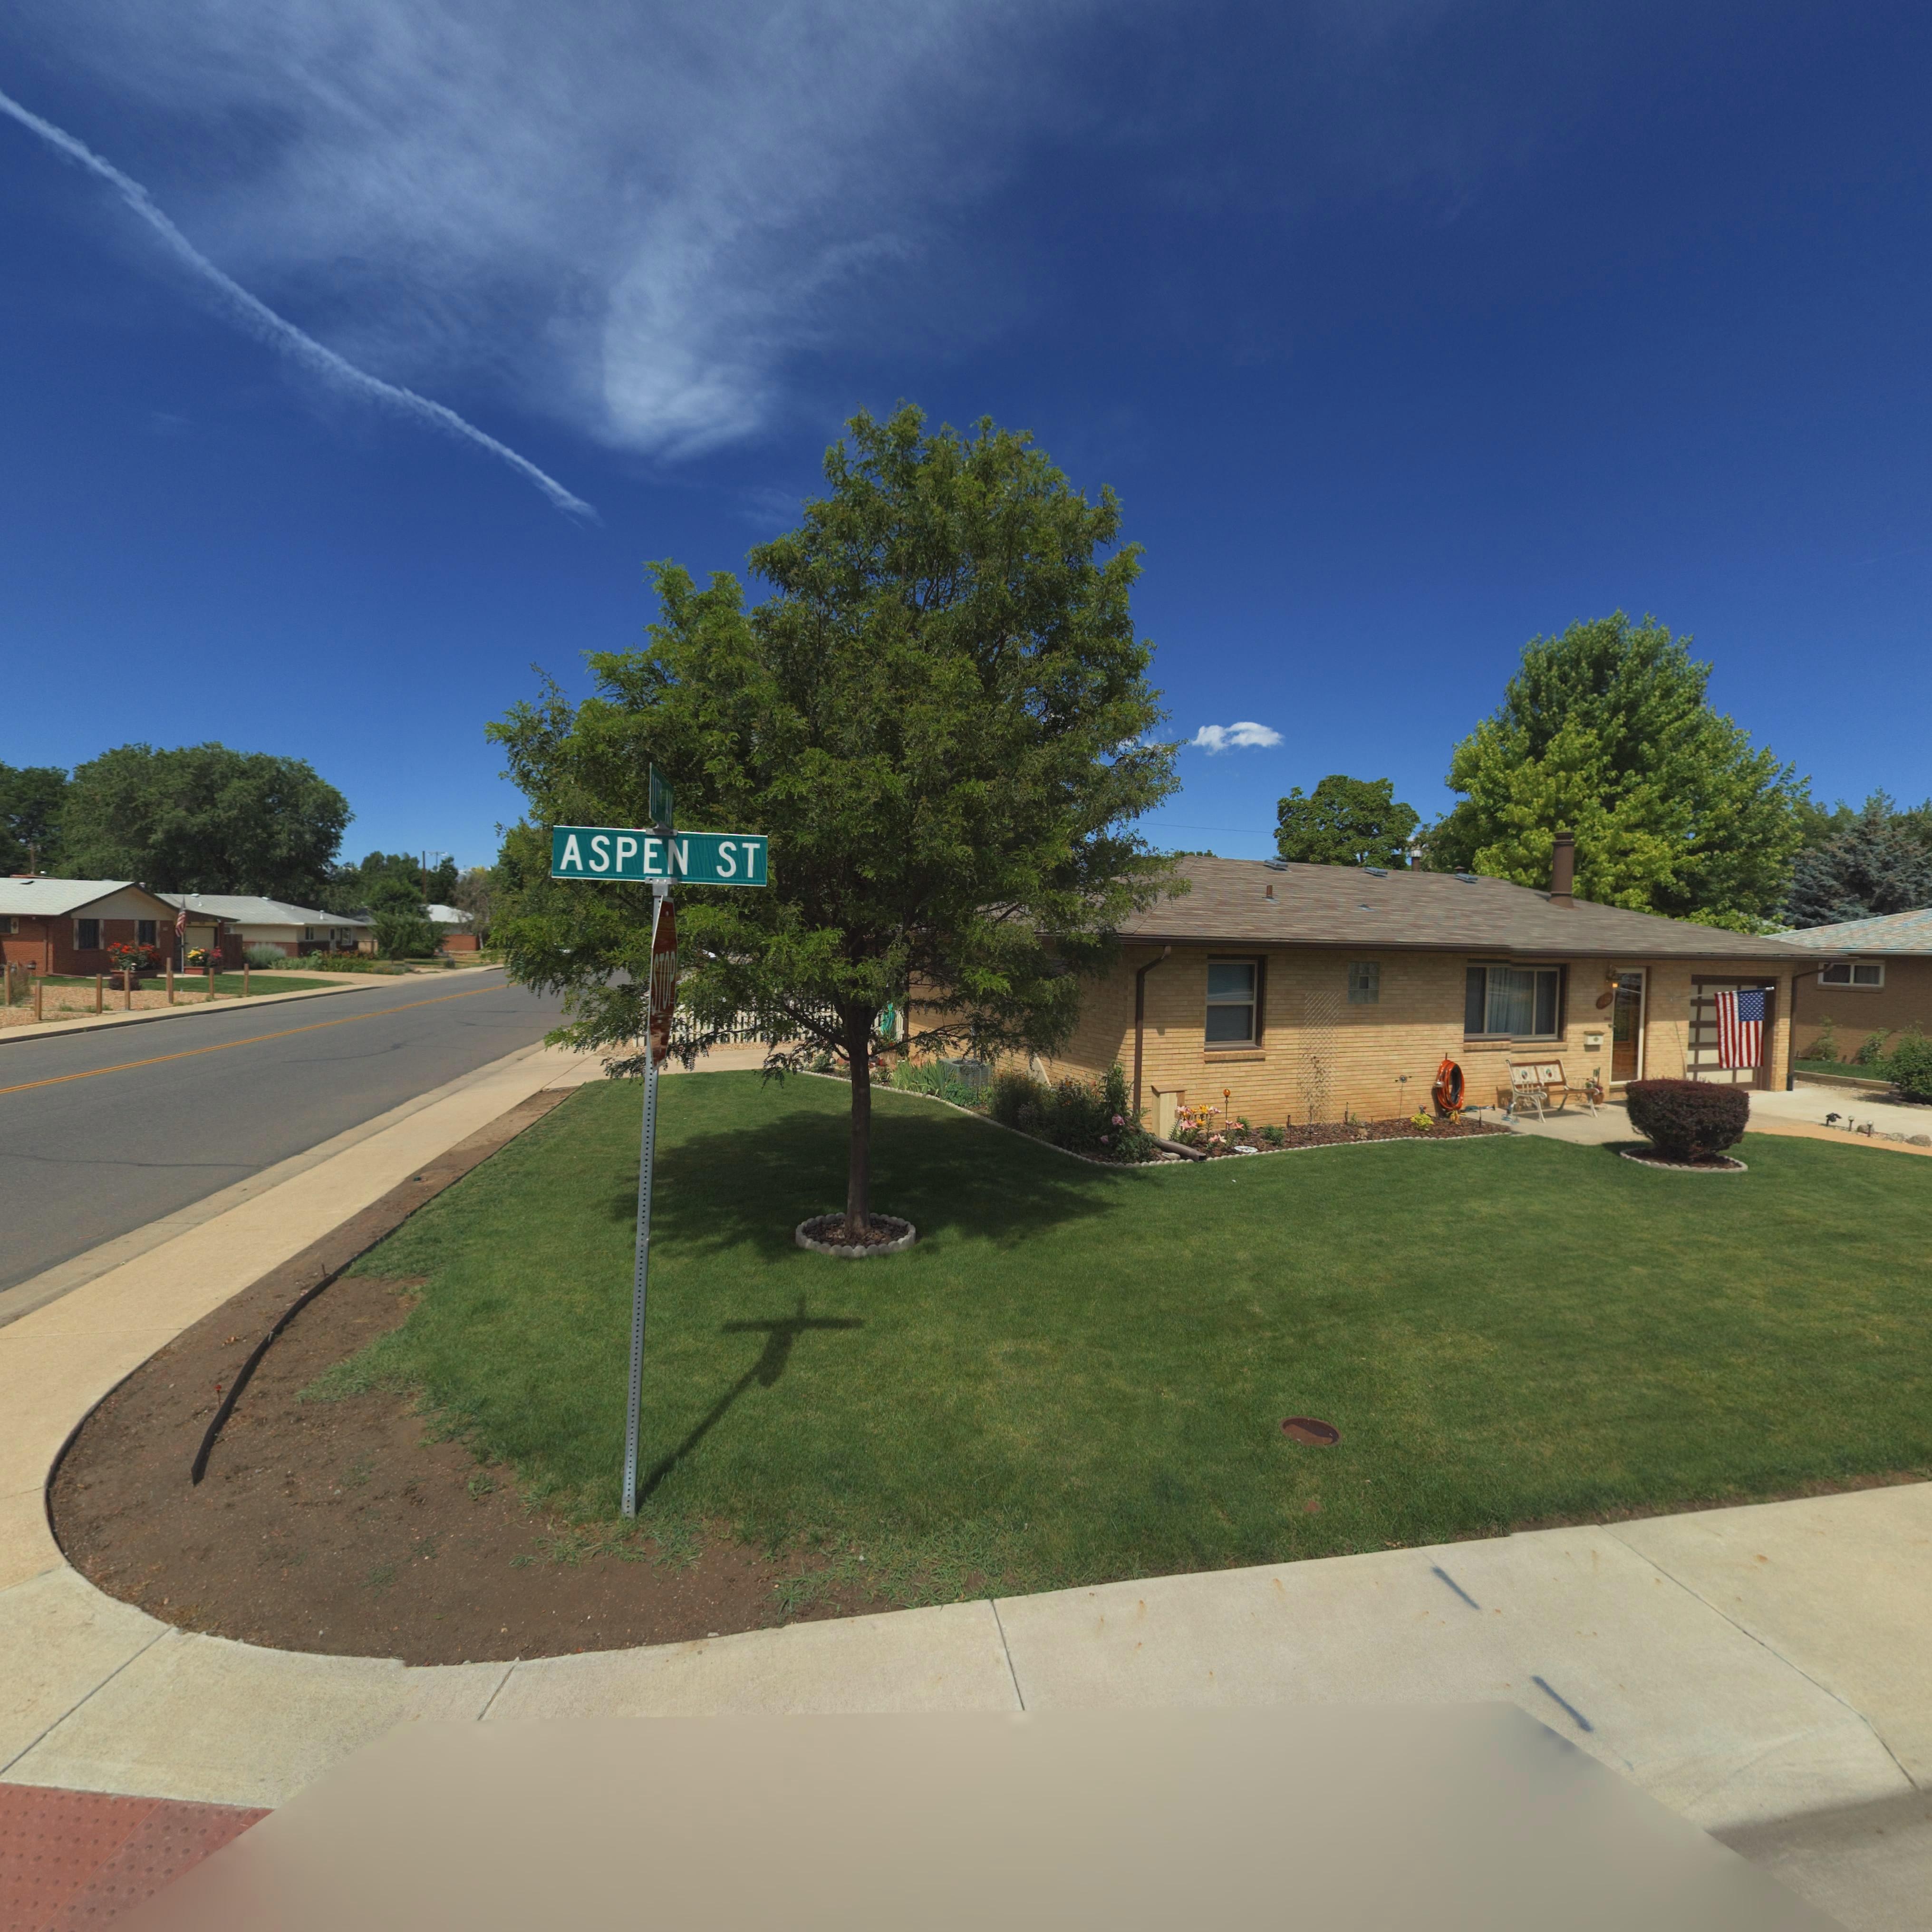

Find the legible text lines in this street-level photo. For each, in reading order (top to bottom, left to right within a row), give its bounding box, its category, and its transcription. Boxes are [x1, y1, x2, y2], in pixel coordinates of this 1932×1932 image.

[651, 773, 673, 827] StreetName: 11TH AV
[558, 833, 761, 879] StreetName: ASPEN ST